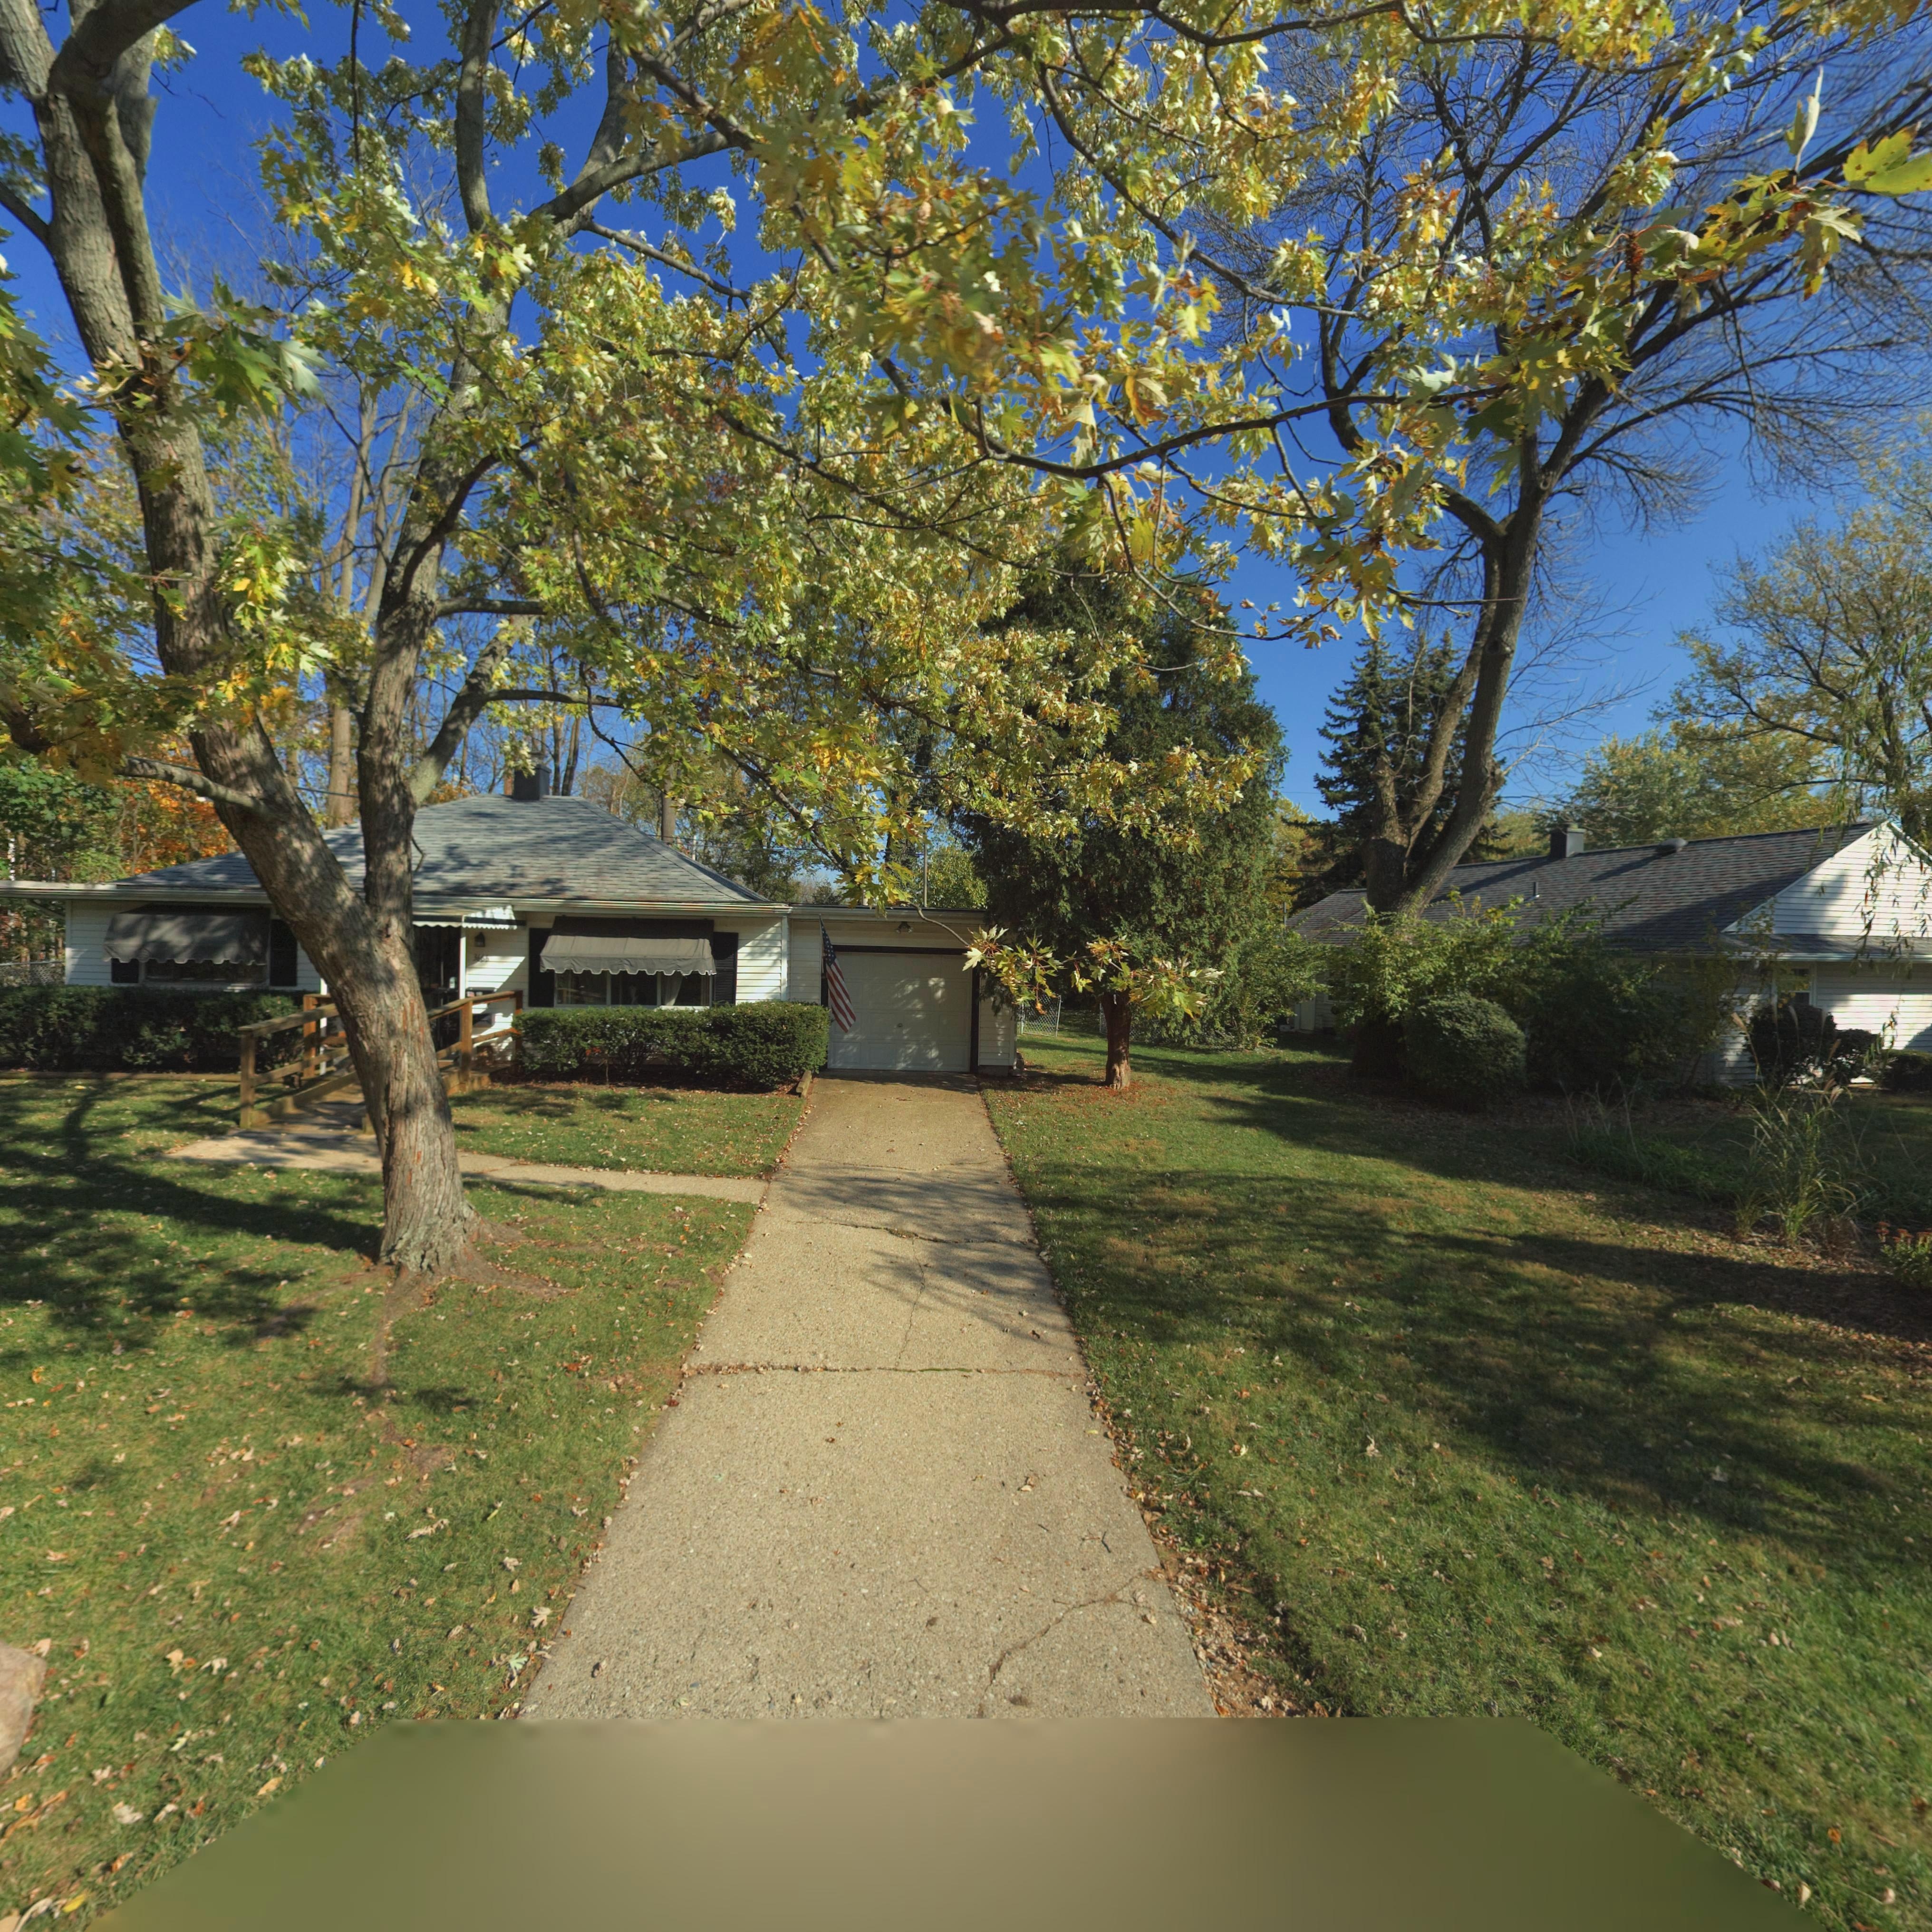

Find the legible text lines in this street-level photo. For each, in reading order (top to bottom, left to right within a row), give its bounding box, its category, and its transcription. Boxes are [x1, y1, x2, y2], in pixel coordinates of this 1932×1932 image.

[472, 952, 489, 962] StreetNumber: 3666